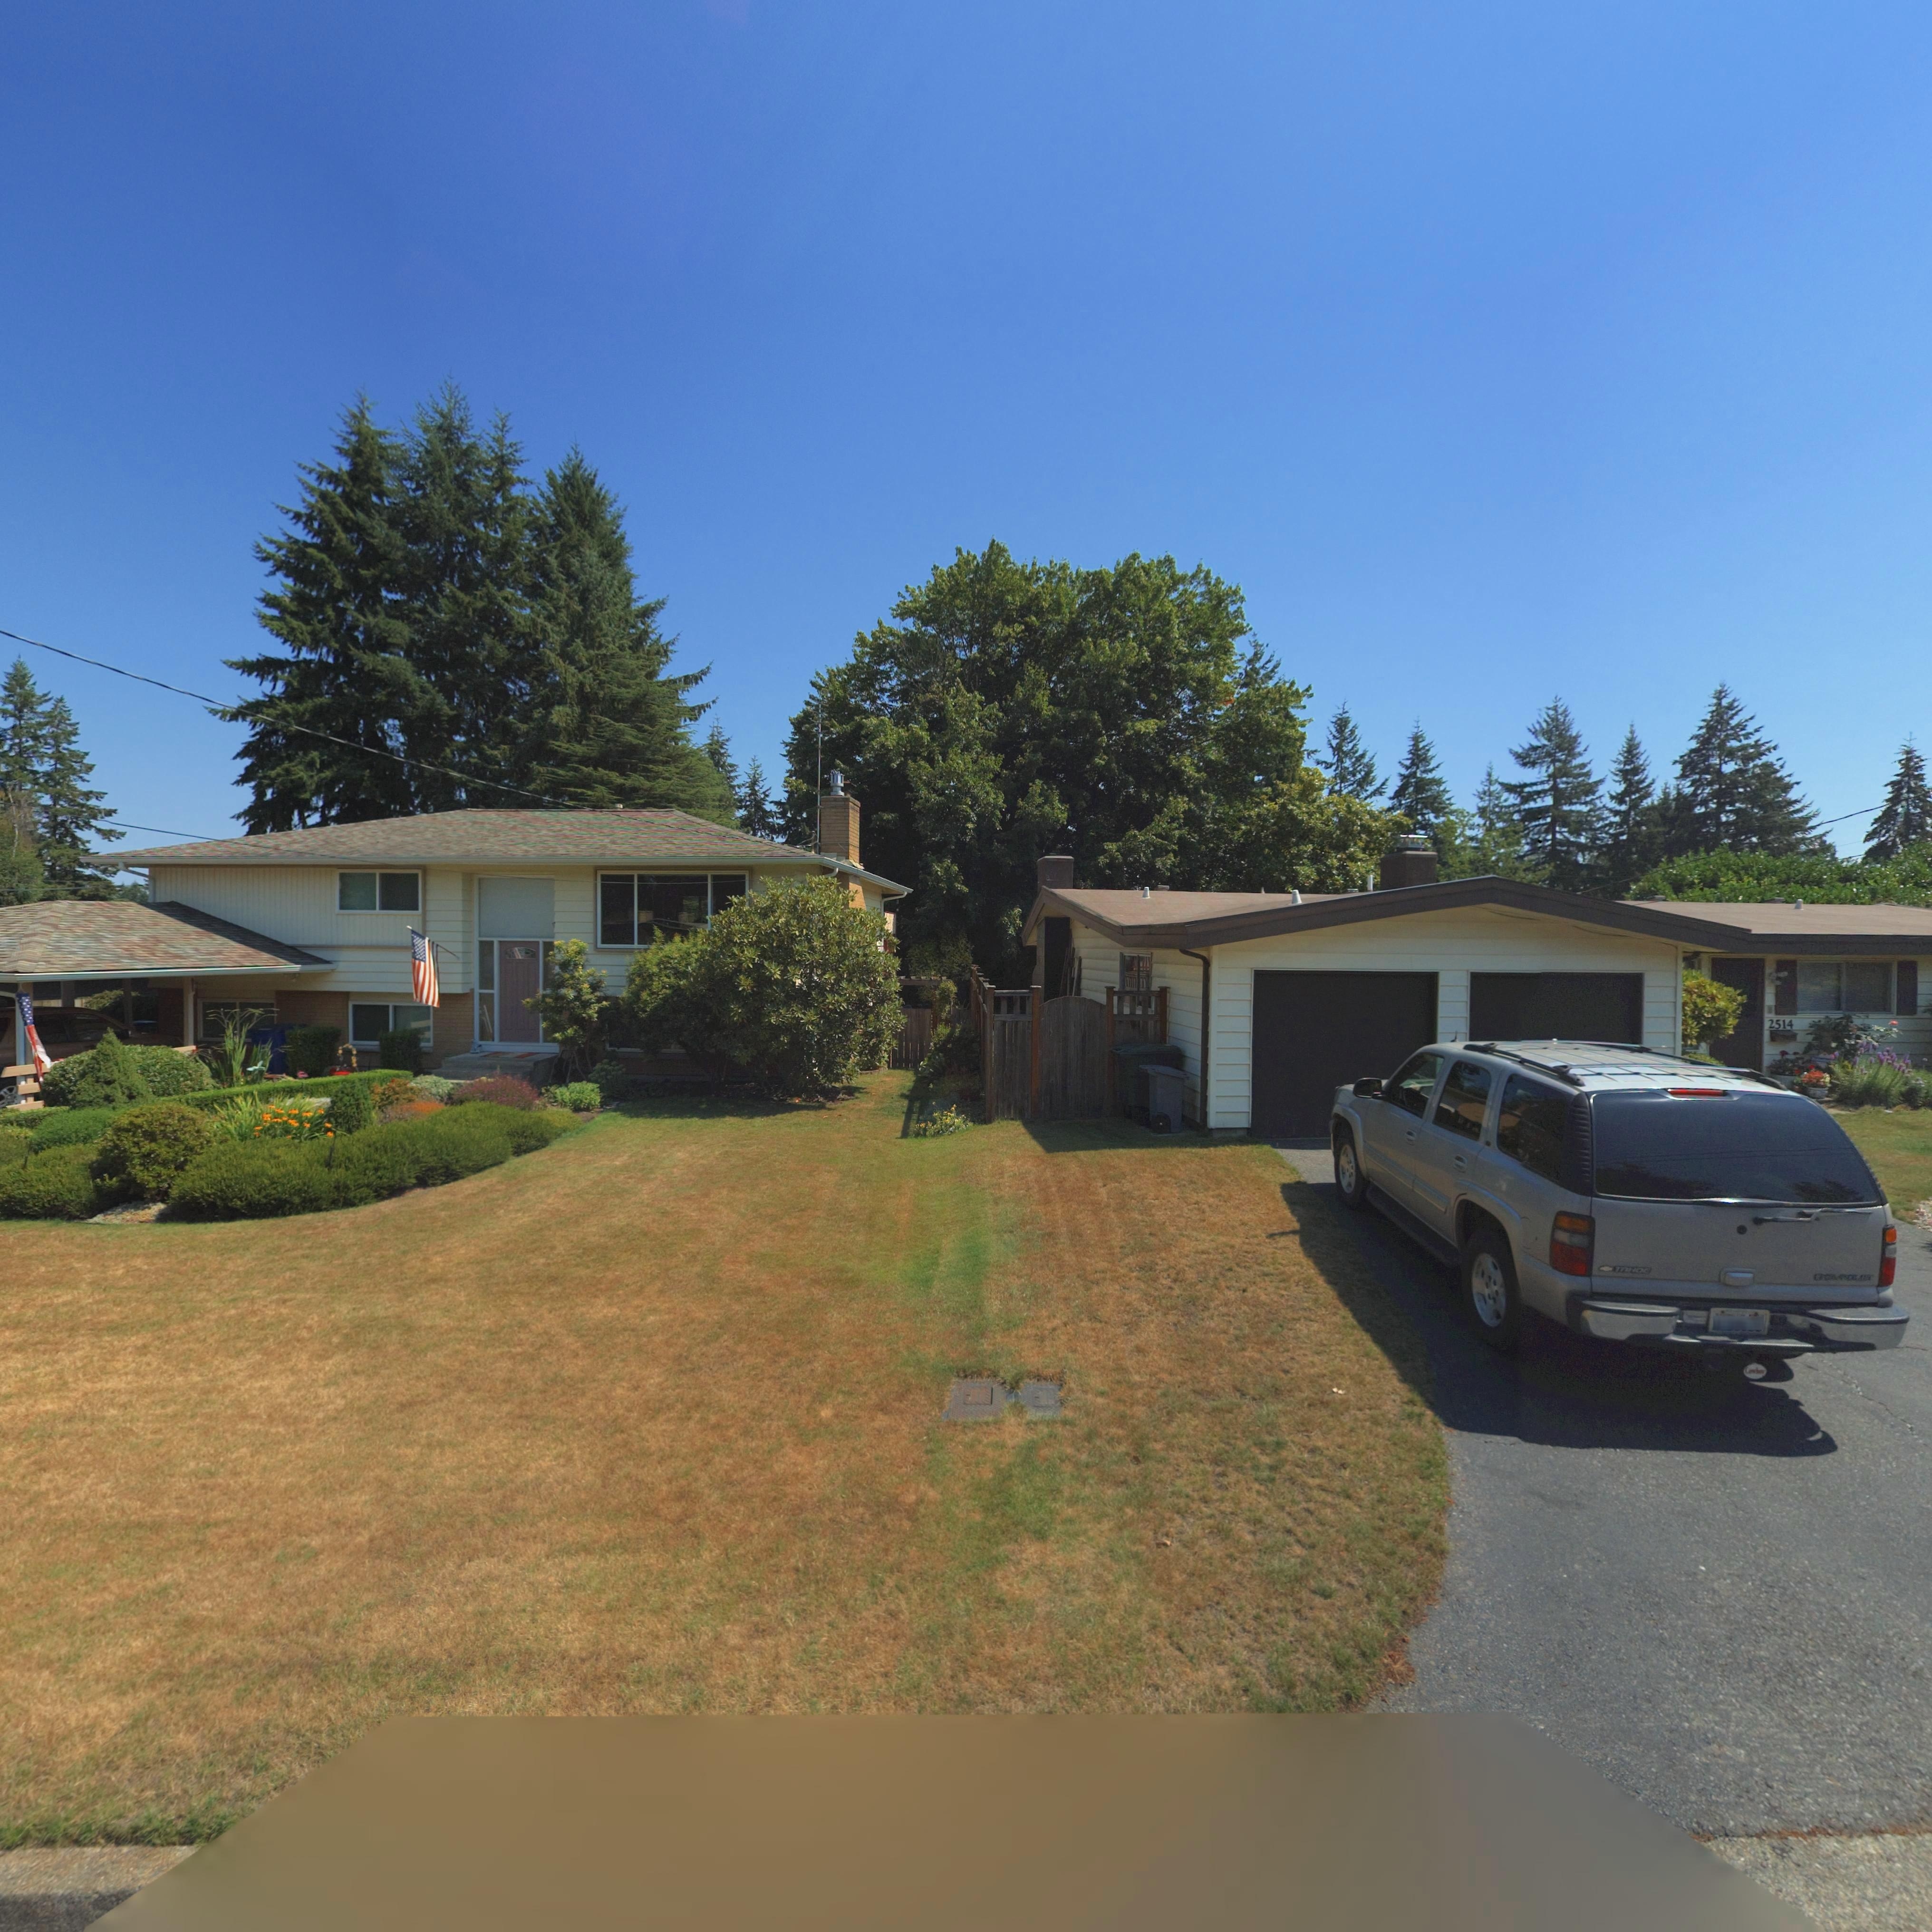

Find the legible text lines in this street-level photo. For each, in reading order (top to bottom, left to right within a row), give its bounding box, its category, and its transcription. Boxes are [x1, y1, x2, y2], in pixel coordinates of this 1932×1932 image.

[1767, 1018, 1794, 1029] StreetNumber: 2514